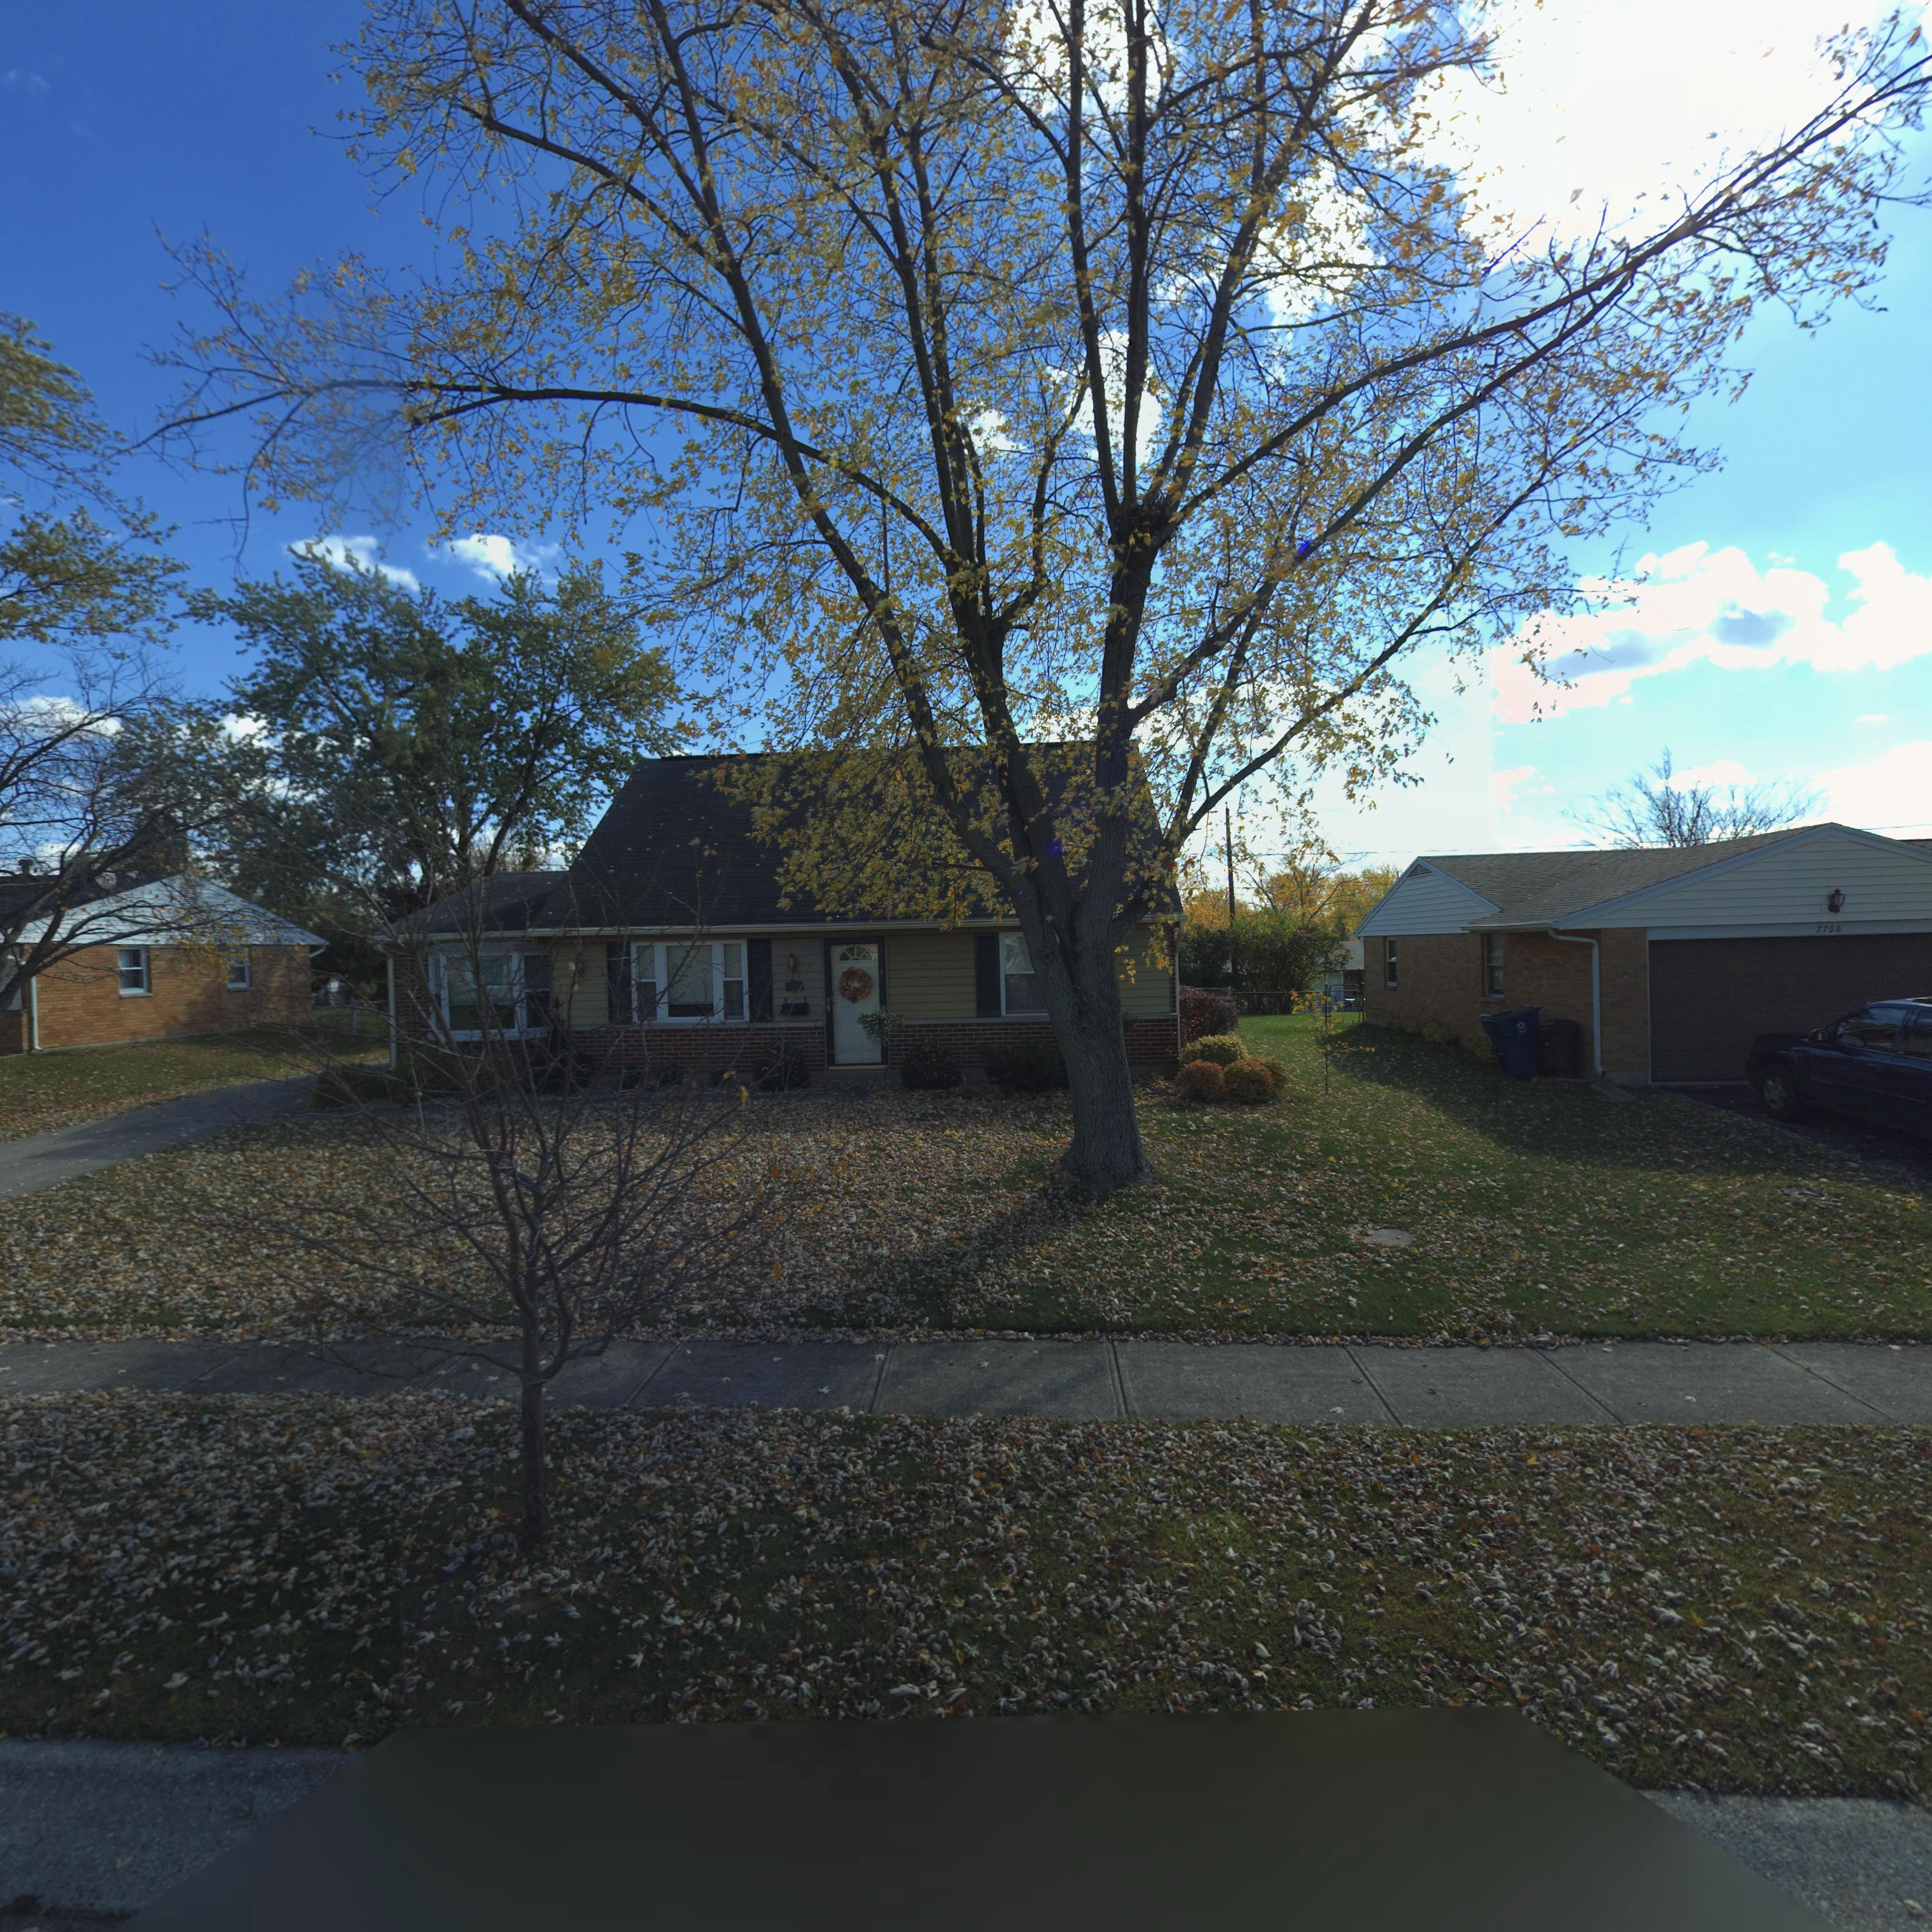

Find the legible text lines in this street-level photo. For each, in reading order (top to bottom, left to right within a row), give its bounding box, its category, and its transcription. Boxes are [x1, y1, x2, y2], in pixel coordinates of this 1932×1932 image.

[1816, 924, 1843, 933] StreetNumber: 7766
[788, 983, 802, 990] StreetNumber: 777*